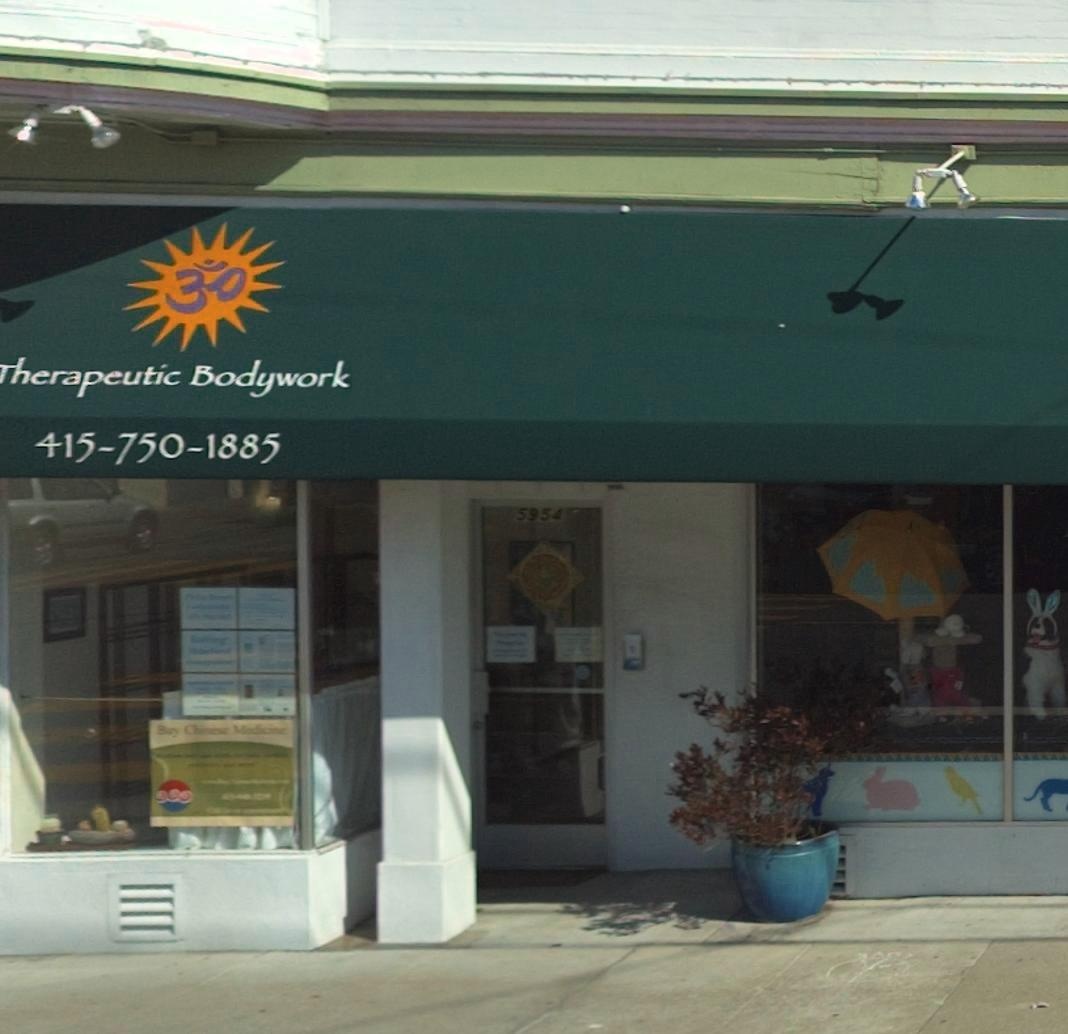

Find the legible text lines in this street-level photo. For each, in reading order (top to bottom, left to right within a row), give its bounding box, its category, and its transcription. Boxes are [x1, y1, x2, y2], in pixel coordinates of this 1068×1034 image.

[164, 266, 206, 313] None: 3
[0, 355, 349, 399] BusinessName: Therapeutic Bodywork
[32, 429, 283, 468] None: 415-750-1885
[516, 506, 564, 523] StreetNumber: 5954